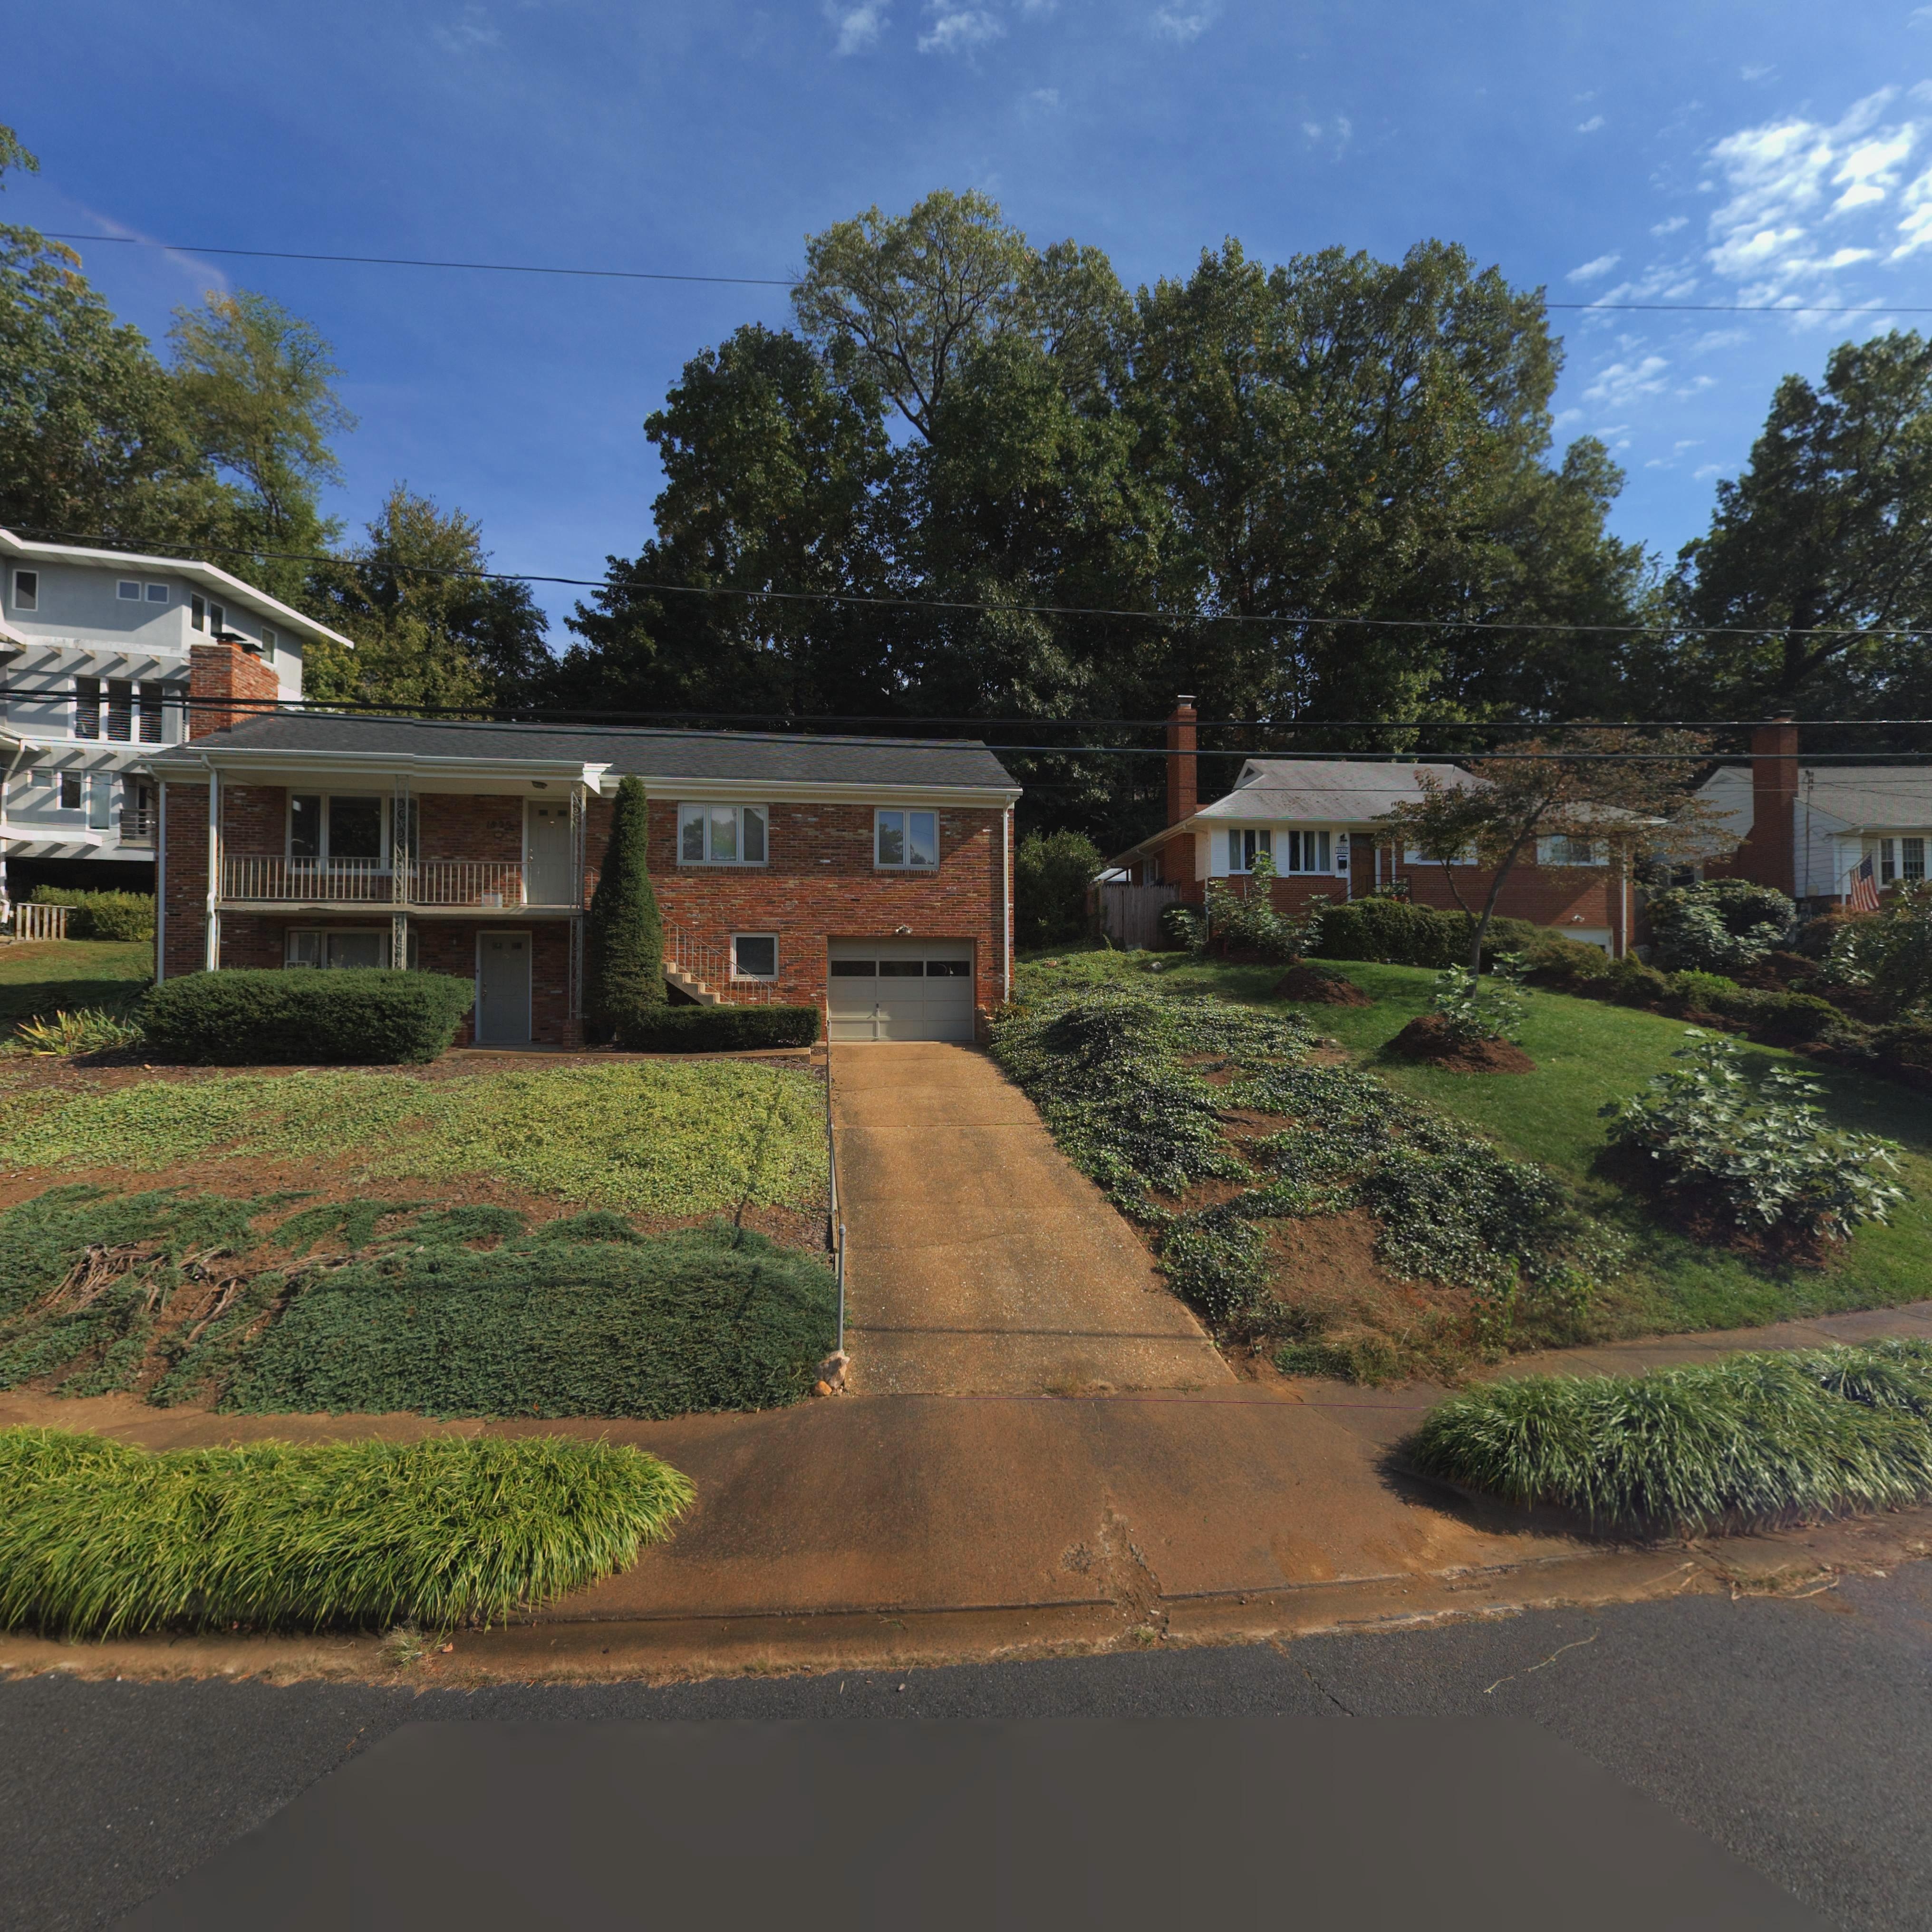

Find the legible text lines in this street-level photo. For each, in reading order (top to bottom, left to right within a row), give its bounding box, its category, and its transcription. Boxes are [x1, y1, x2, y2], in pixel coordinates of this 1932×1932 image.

[485, 820, 512, 829] StreetNumber: 1829
[1336, 848, 1347, 853] StreetNumber: 1824